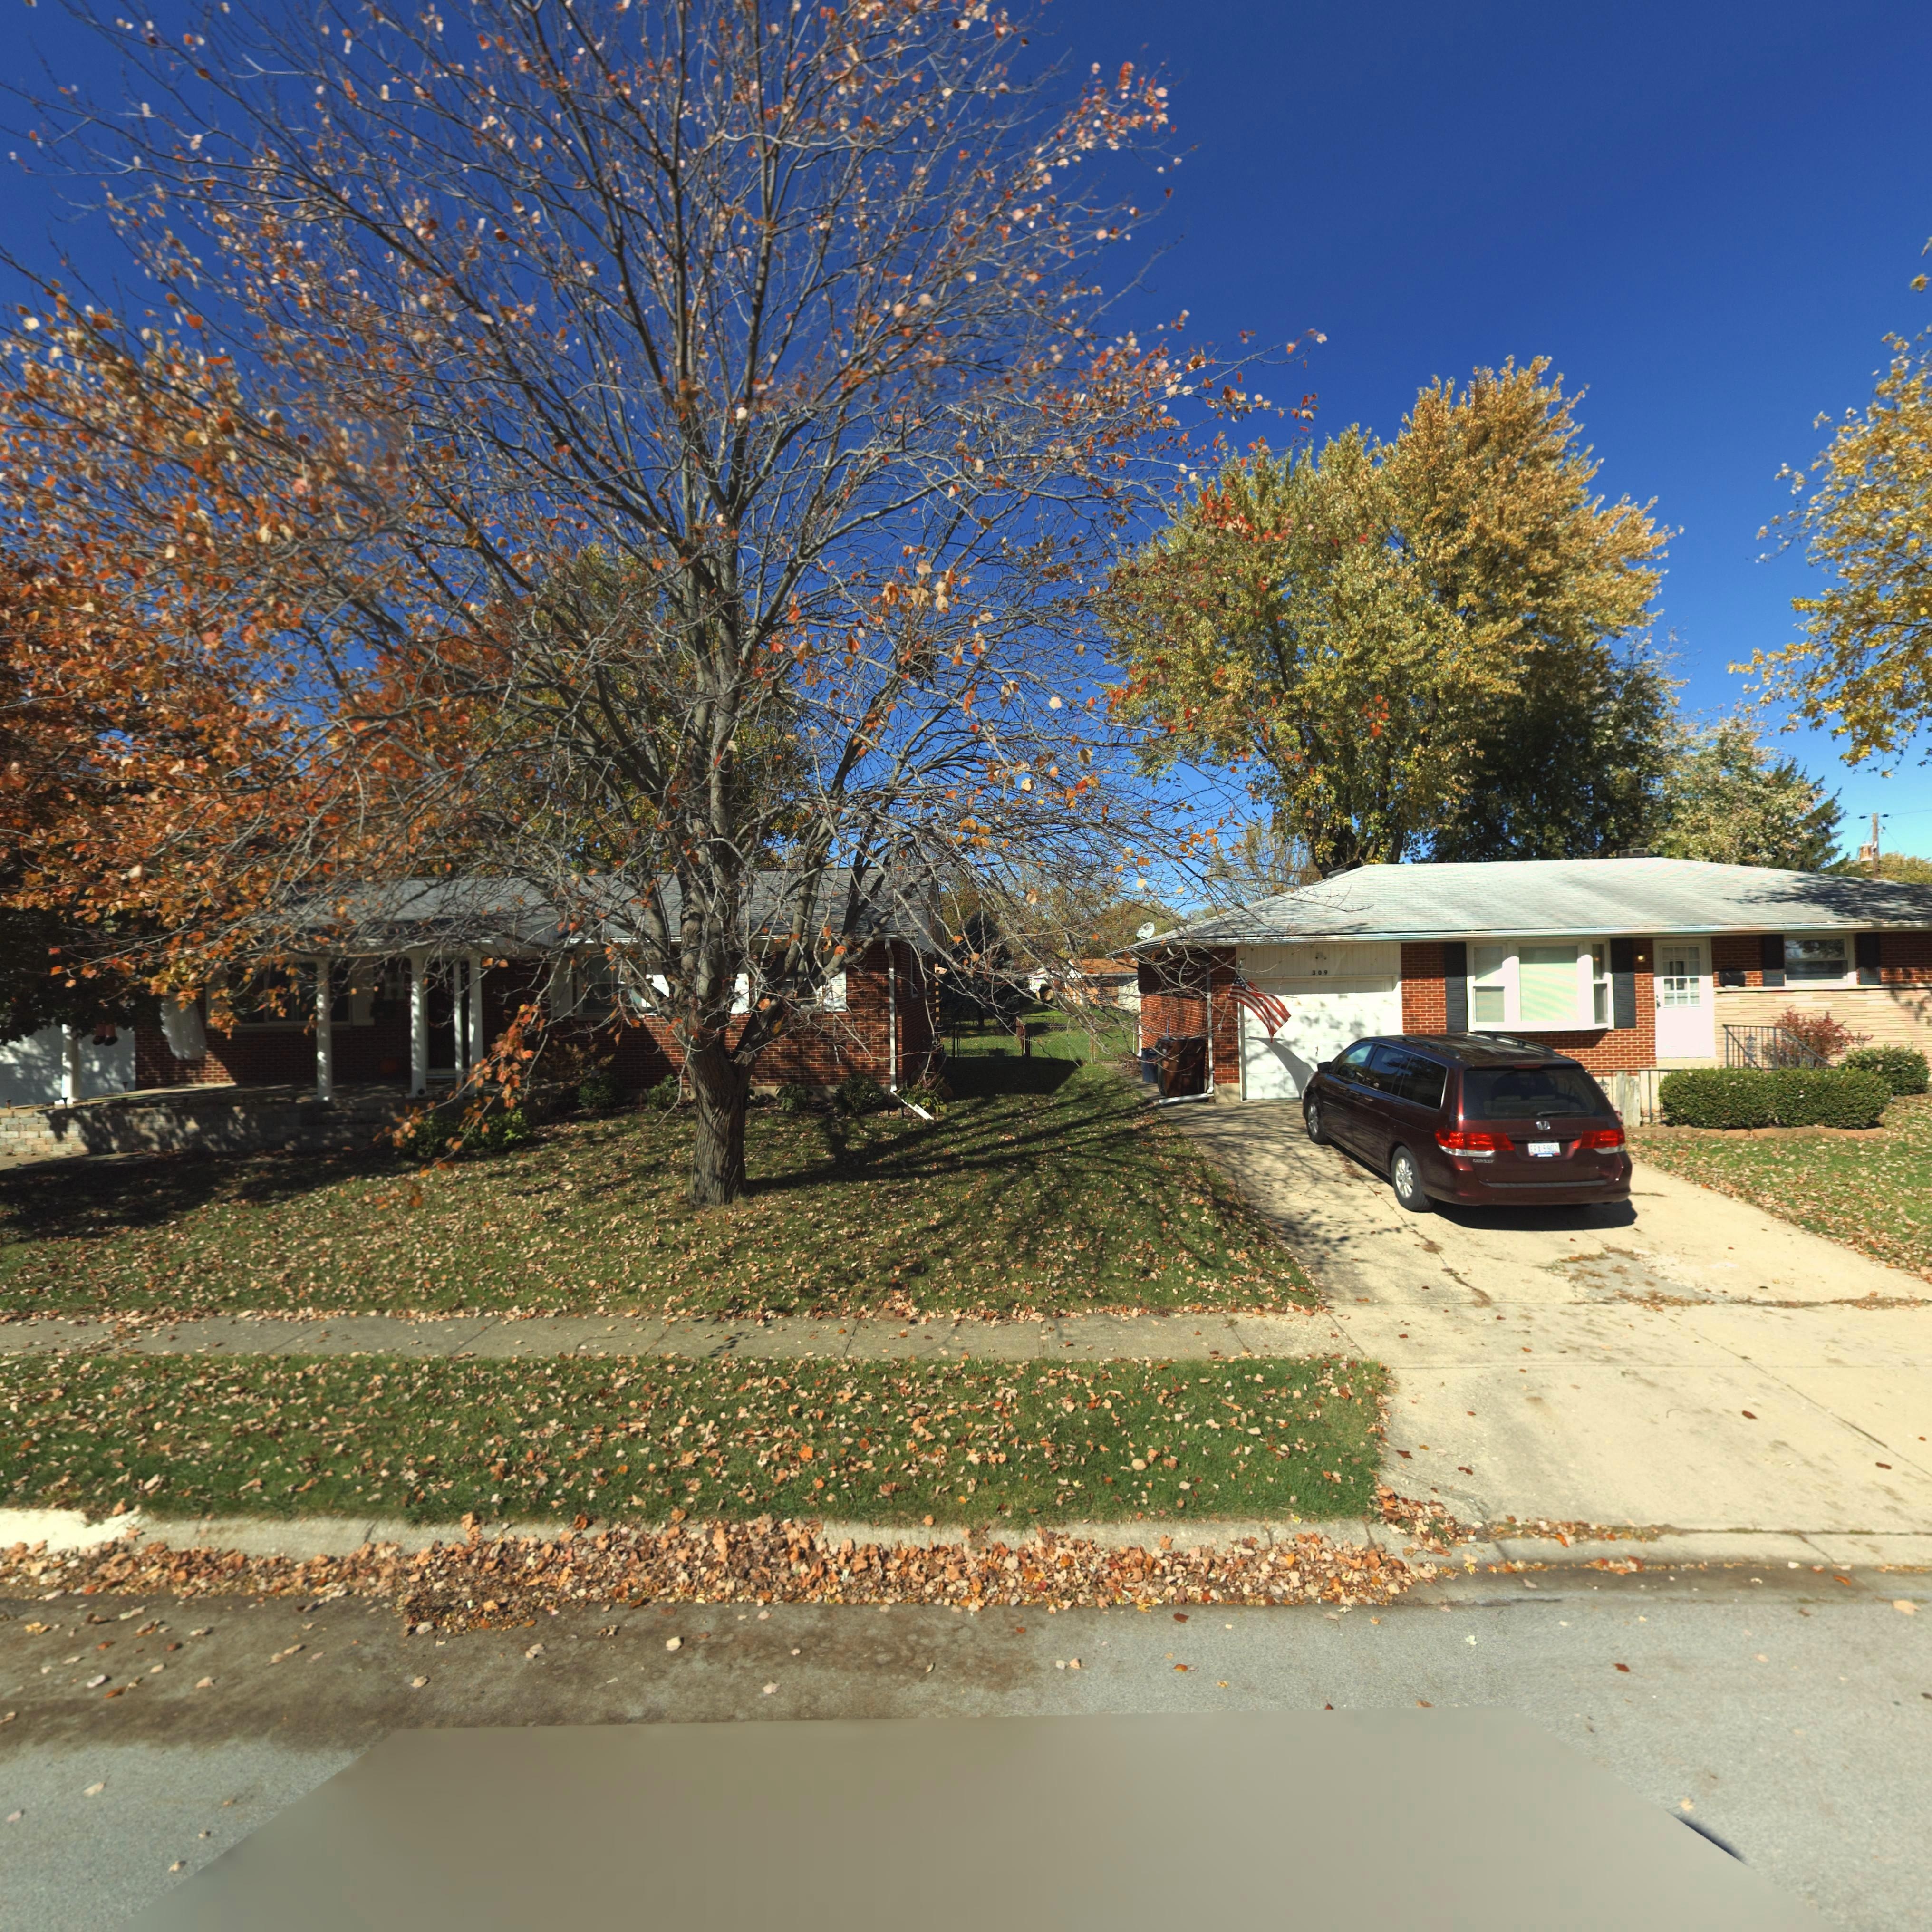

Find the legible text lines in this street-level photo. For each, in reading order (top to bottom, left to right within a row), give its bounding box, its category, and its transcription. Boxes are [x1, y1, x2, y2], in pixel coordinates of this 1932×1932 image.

[1311, 969, 1329, 976] StreetNumber: 309
[1529, 1144, 1559, 1154] None: E*X*5902